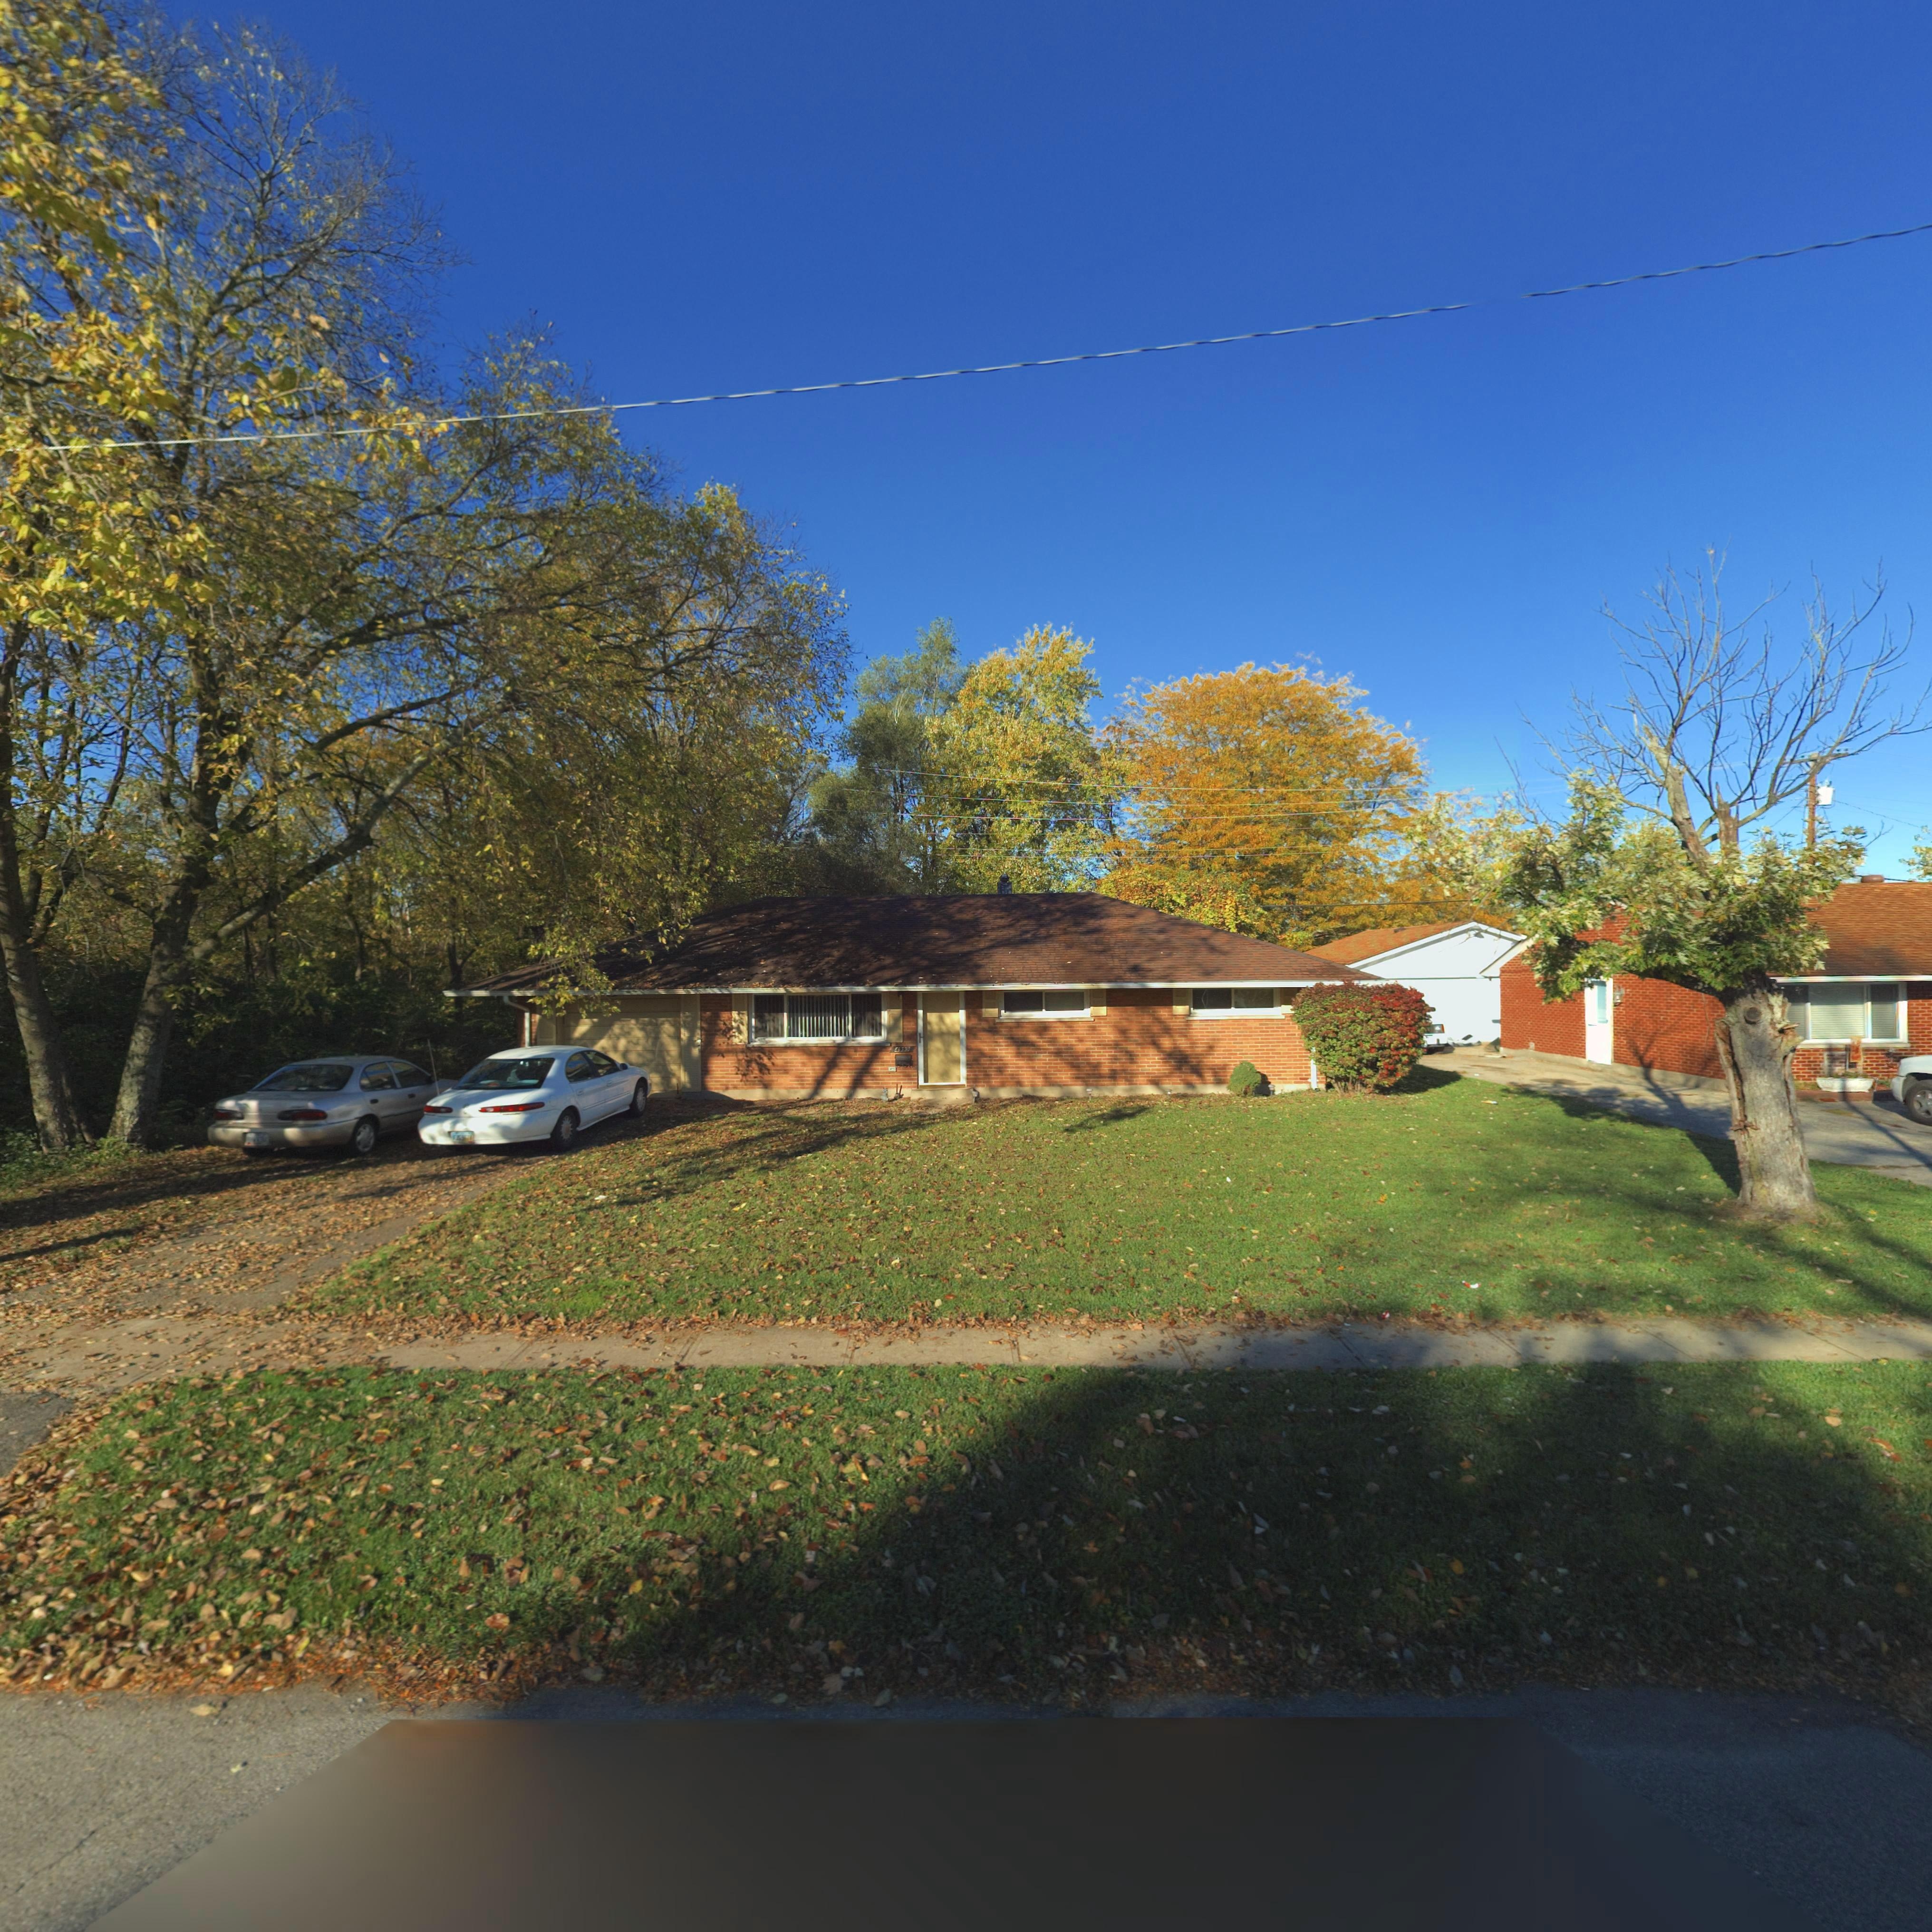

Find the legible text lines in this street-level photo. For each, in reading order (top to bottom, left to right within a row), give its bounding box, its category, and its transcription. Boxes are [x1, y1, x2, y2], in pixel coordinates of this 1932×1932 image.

[895, 1047, 910, 1052] StreetNumber: 4999